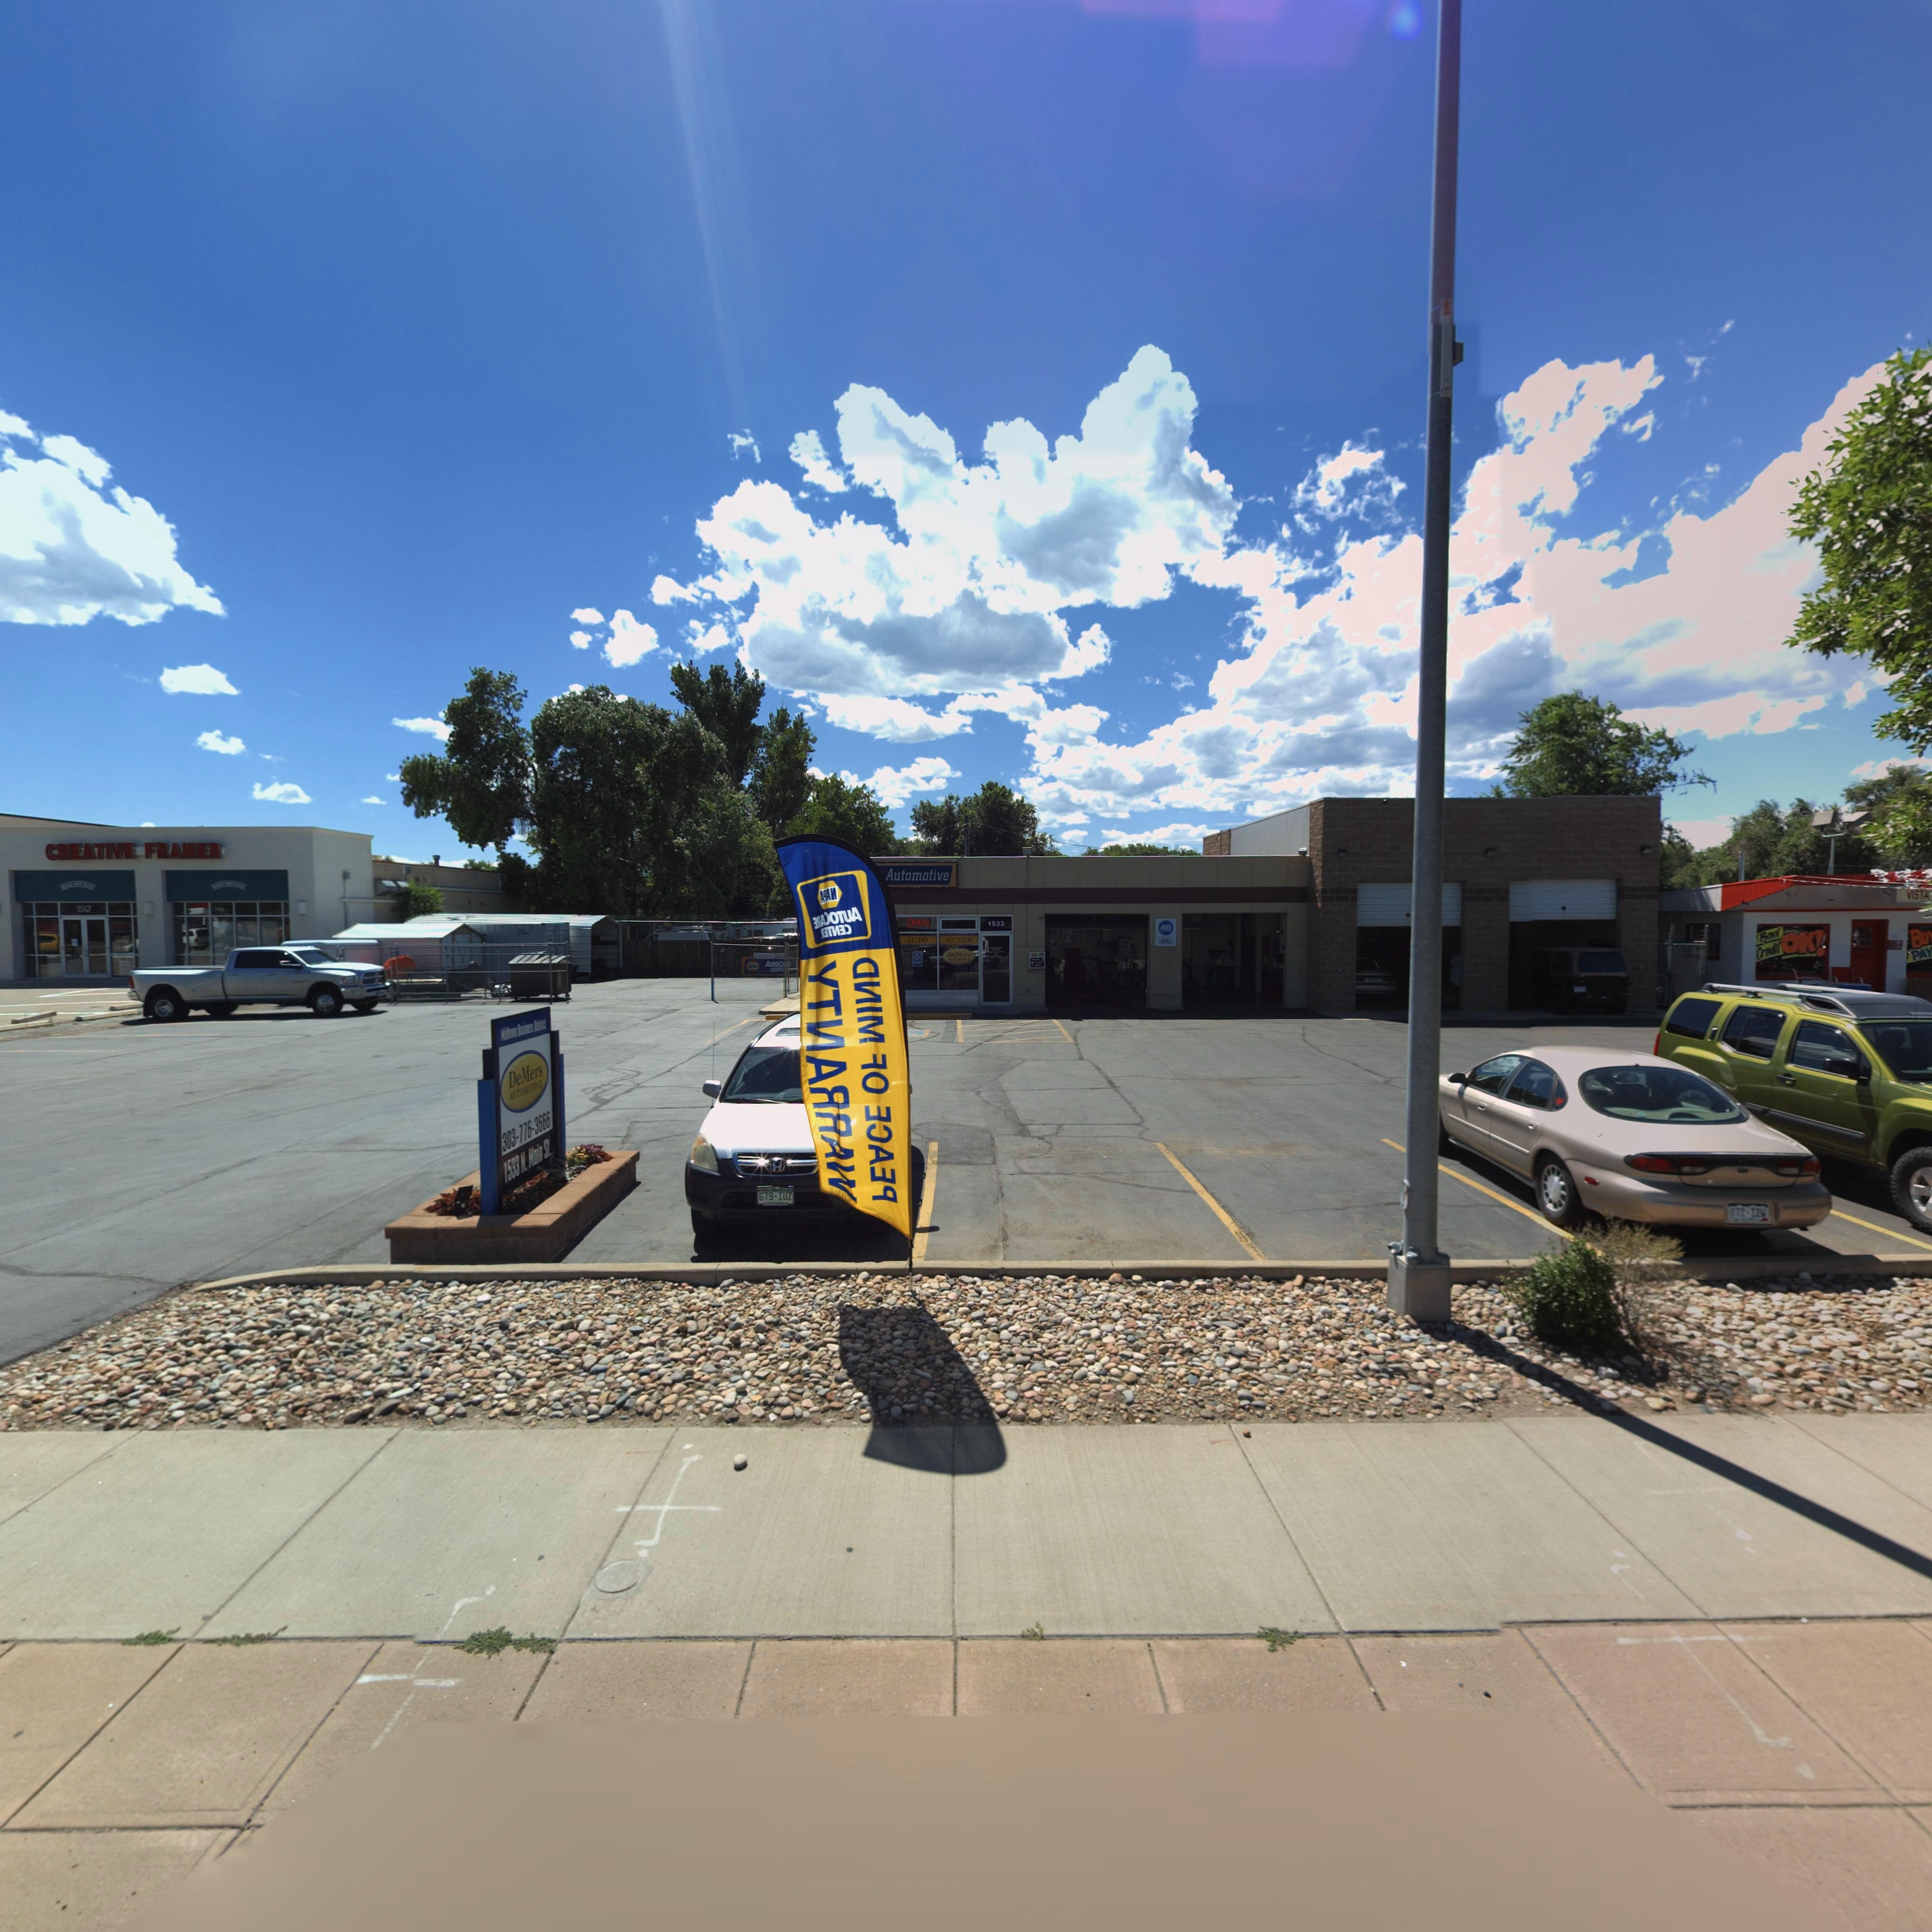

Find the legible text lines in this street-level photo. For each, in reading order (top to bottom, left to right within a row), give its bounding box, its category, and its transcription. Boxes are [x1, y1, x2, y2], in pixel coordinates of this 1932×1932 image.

[44, 841, 222, 861] BusinessName: CREATIVE FRAMER
[884, 868, 949, 881] BusinessName: Automotive
[1906, 889, 1930, 900] BusinessName: VISTA
[76, 905, 92, 912] StreetNumber: 15*7
[811, 906, 863, 930] None: **AC**UA
[987, 920, 1005, 927] StreetNumber: 1533
[948, 951, 970, 956] BusinessName: DeMers
[508, 1064, 543, 1089] BusinessName: DeMers
[509, 1079, 542, 1101] BusinessName: AUTOMOTIVE
[520, 1138, 552, 1174] StreetName: N. Main St.
[502, 1154, 520, 1184] StreetNumber: 1533